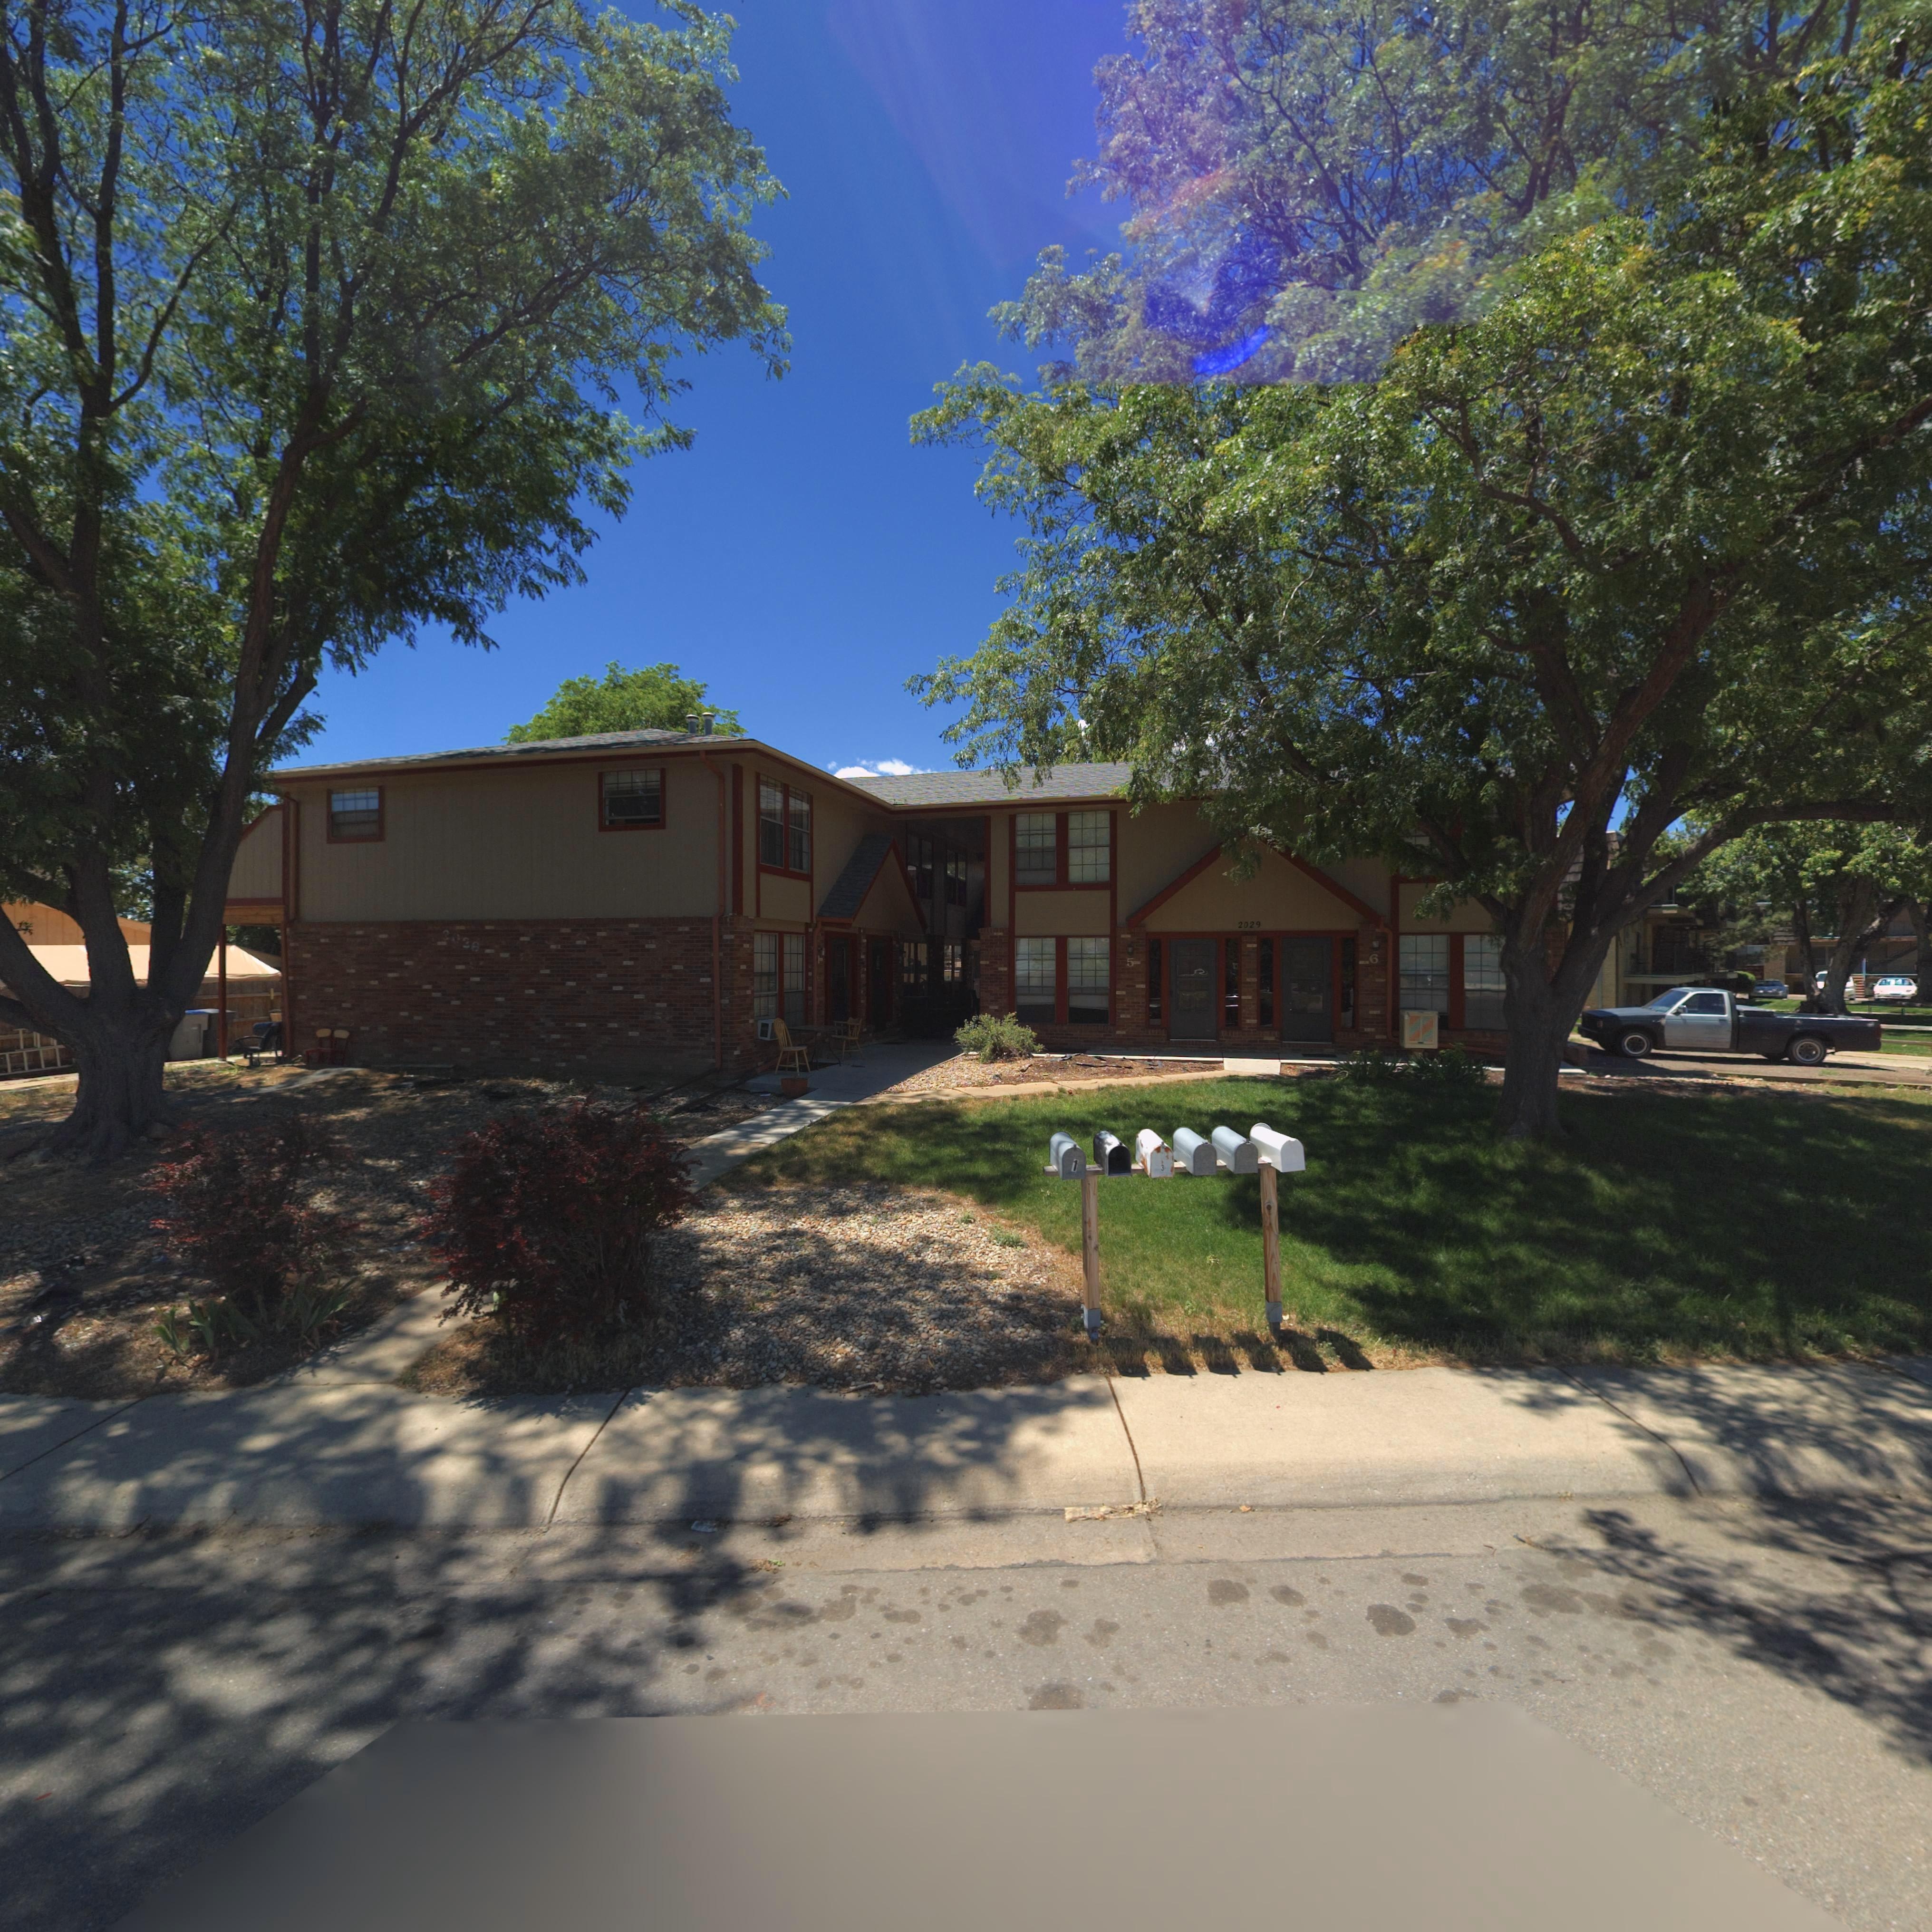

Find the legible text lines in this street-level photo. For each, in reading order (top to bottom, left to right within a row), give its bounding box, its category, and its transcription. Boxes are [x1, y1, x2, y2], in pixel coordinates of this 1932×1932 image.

[1237, 921, 1261, 928] StreetNumber: 2029
[442, 929, 480, 954] StreetNumber: 2*28
[1127, 958, 1134, 967] StreetNumber: 5
[1368, 954, 1378, 964] StreetNumber: 6
[1073, 1159, 1078, 1171] StreetNumber: 1
[1160, 1164, 1164, 1171] StreetNumber: 3